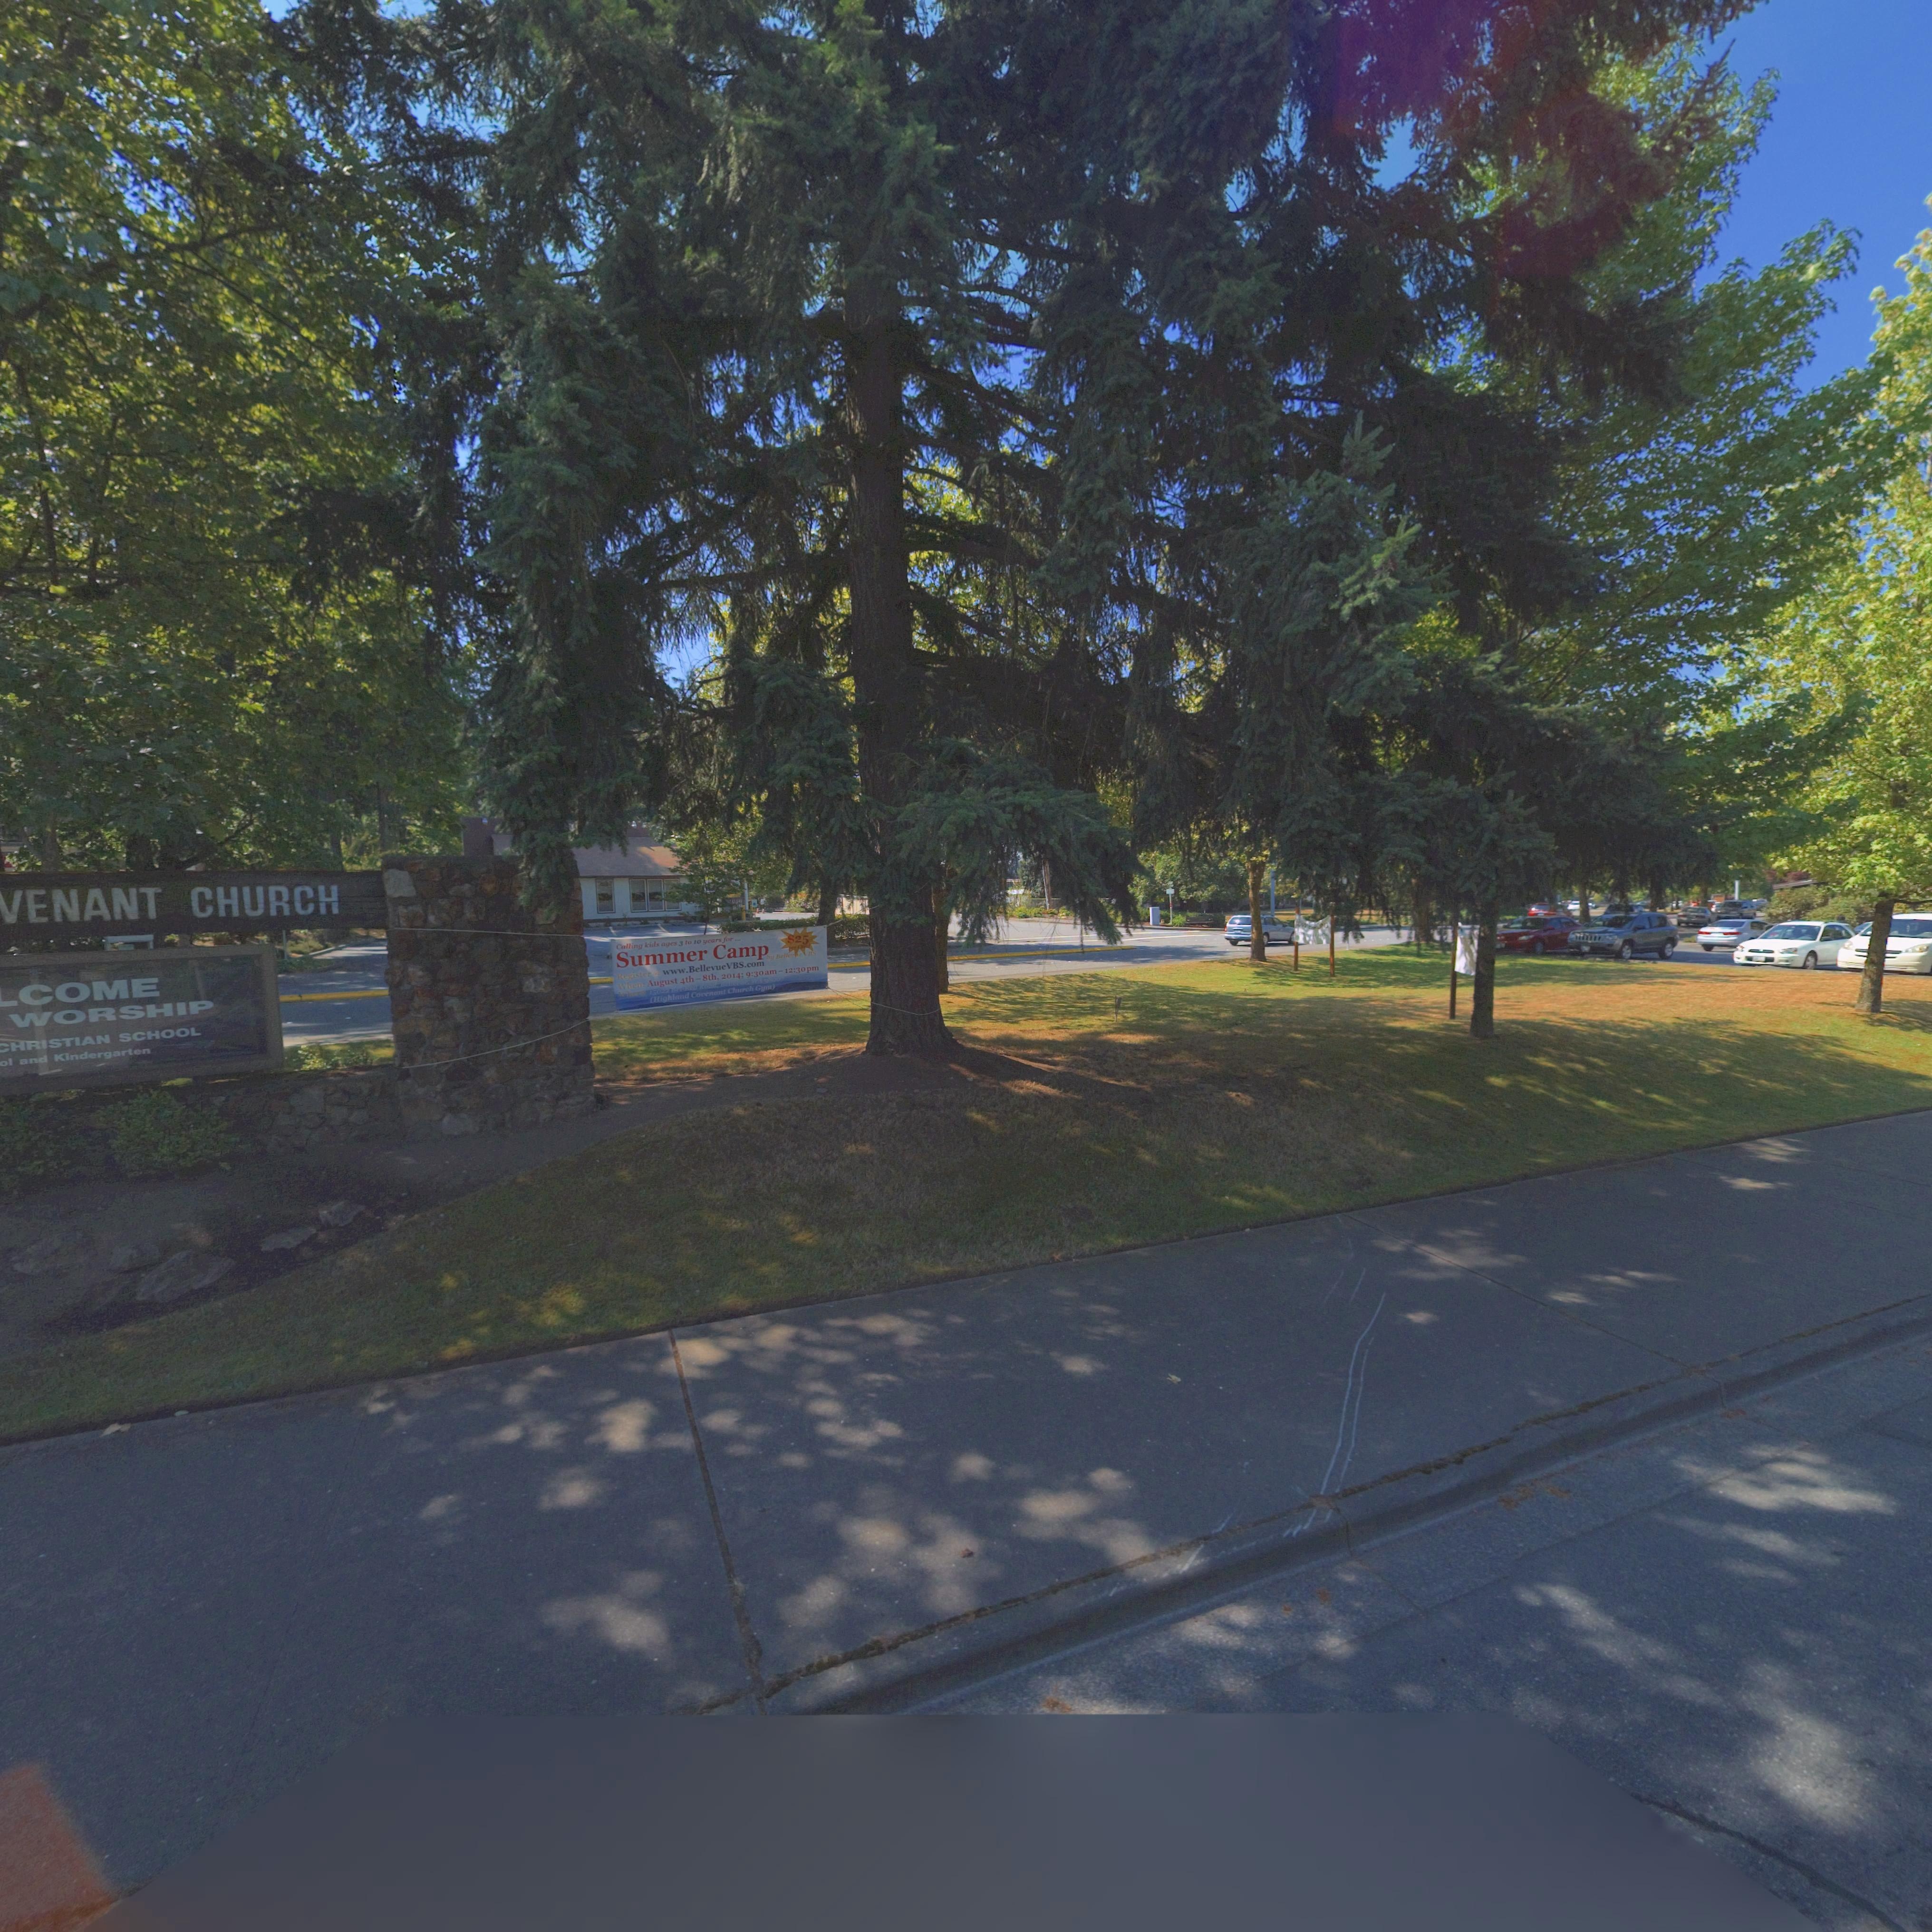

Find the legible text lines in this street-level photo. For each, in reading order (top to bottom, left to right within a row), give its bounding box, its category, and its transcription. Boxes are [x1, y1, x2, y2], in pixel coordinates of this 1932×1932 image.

[23, 883, 341, 925] BusinessName: ENANT CHURCH
[10, 1026, 201, 1053] BusinessName: HRISTIAN SCHOOL